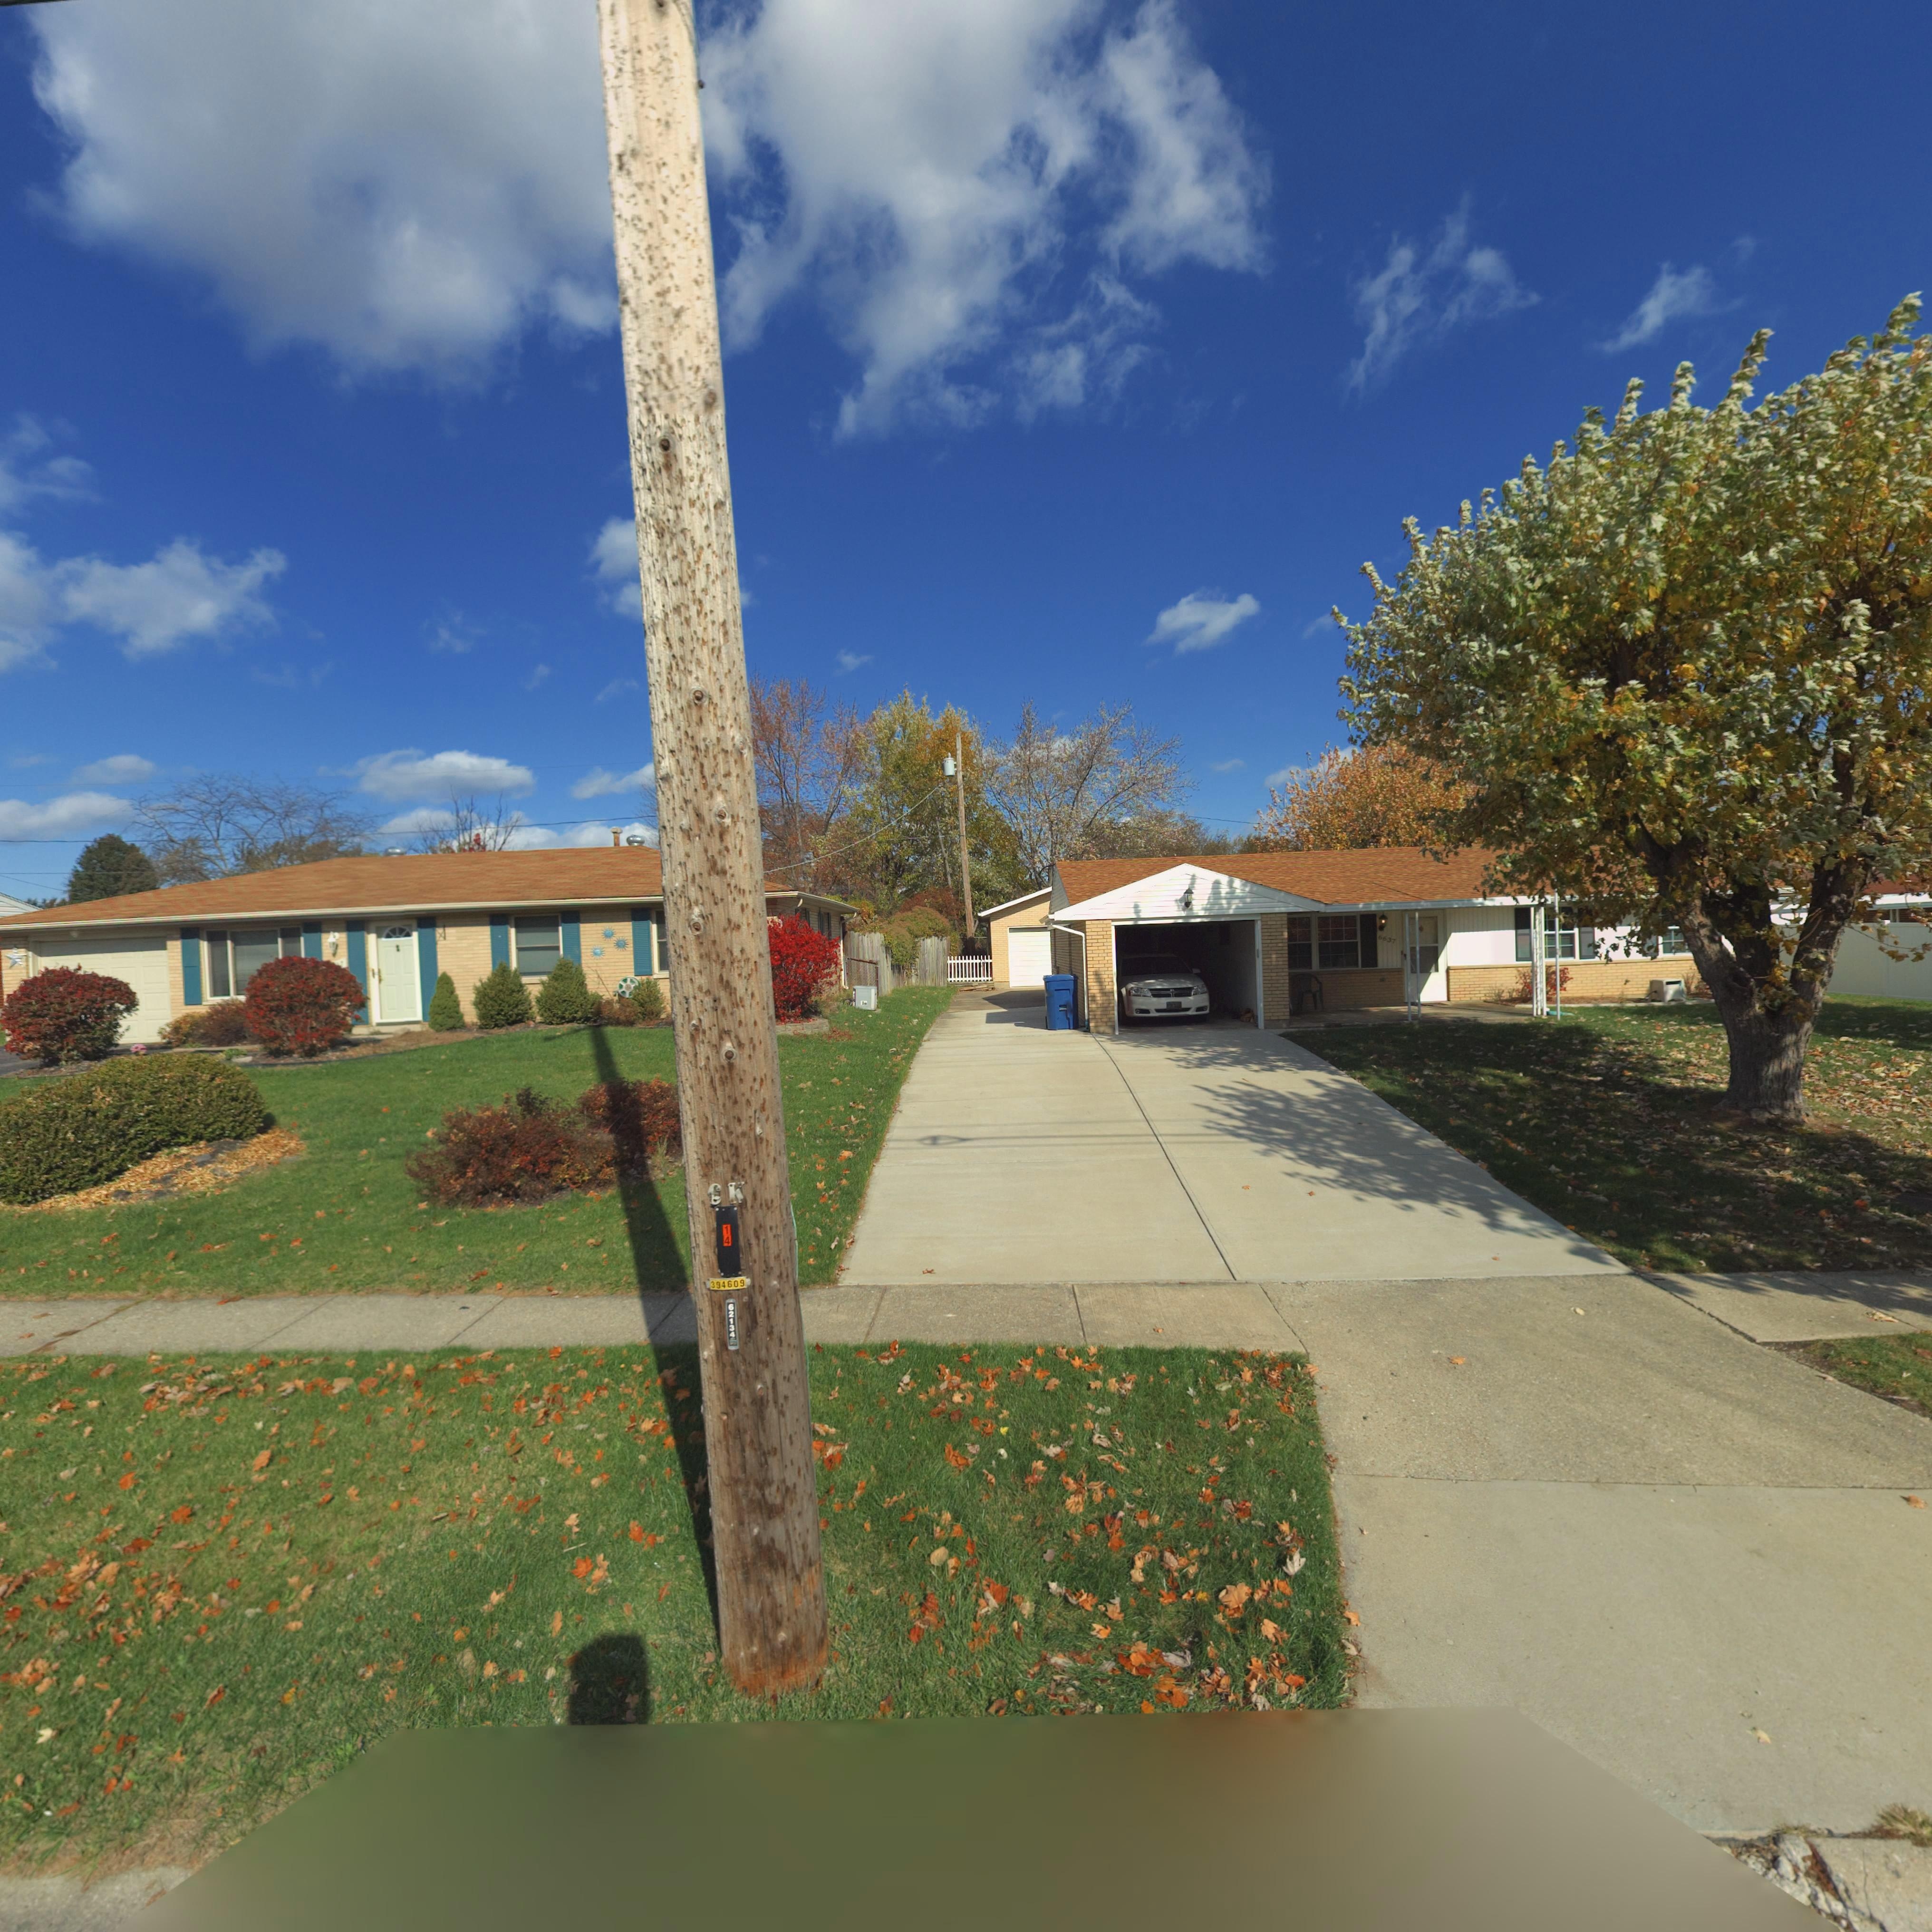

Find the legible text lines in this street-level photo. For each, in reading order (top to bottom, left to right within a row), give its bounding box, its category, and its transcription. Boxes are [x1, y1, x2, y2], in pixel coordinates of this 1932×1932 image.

[1378, 935, 1397, 944] StreetNumber: 6637
[340, 961, 344, 967] StreetNumber: 7